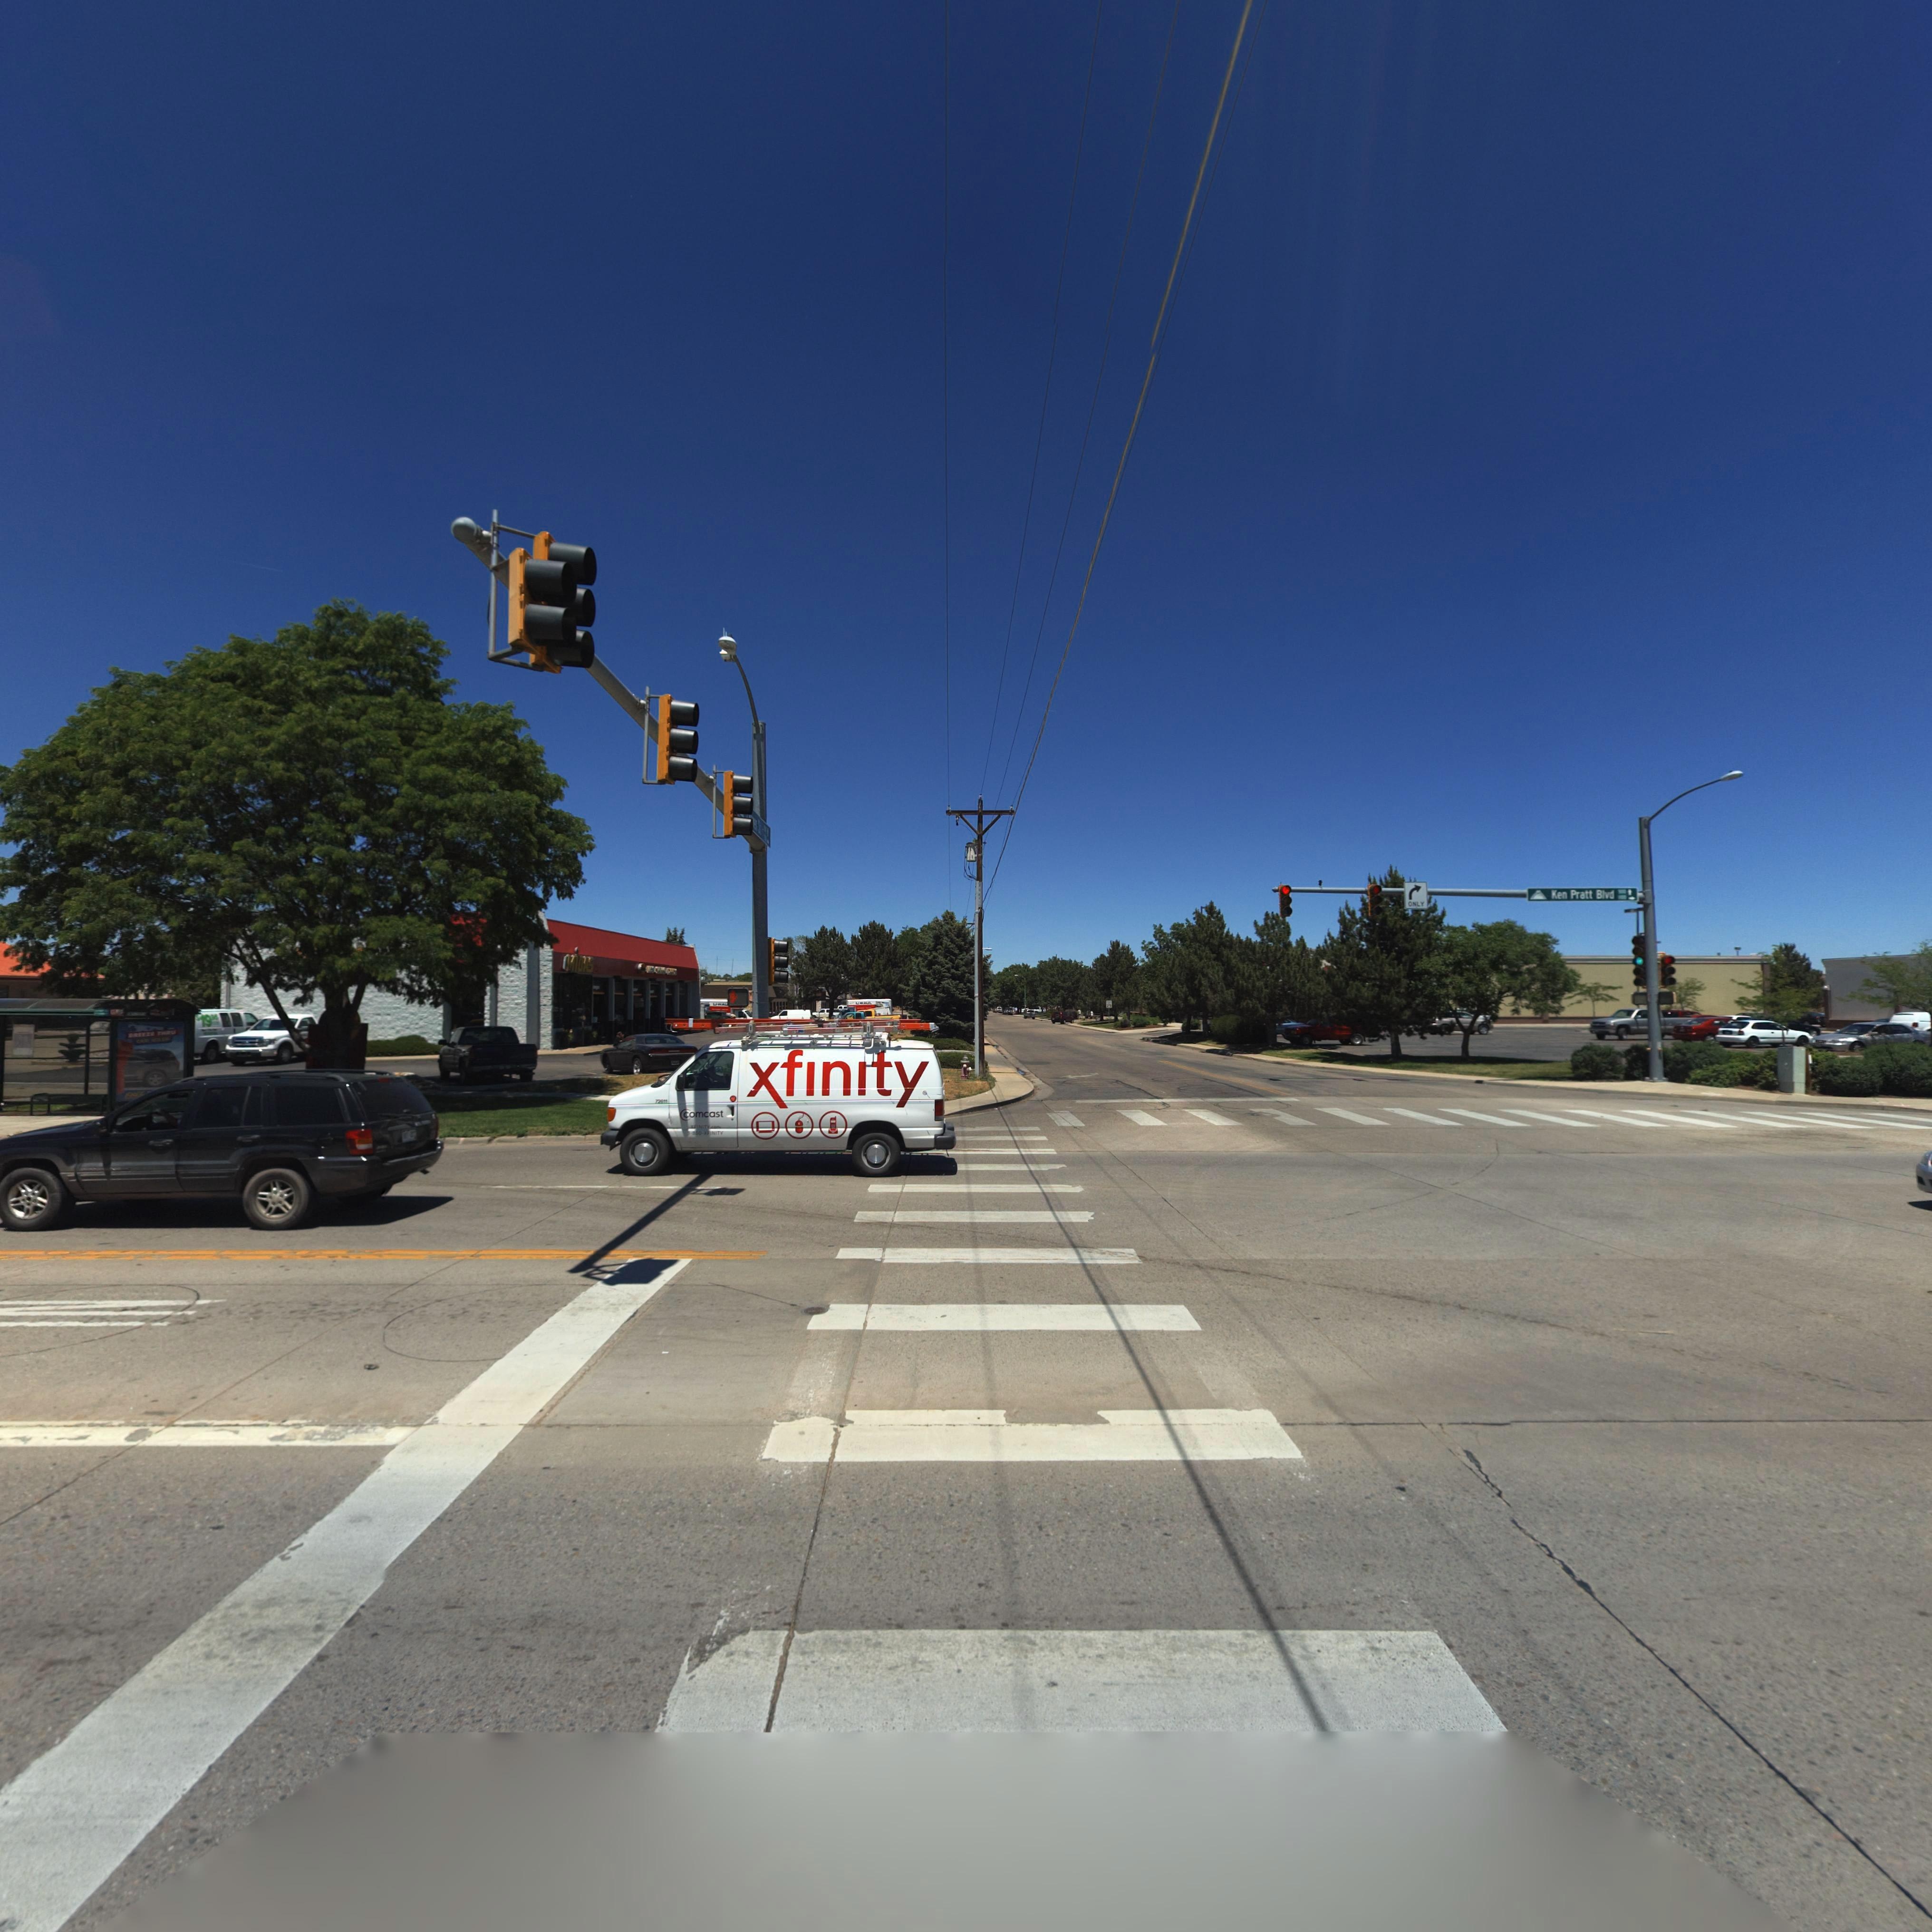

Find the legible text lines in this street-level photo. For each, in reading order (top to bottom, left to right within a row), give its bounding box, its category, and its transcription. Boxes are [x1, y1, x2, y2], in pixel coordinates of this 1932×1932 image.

[1551, 889, 1615, 899] StreetName: Ken Pratt Blvd
[564, 945, 594, 973] BusinessName: MiDAS